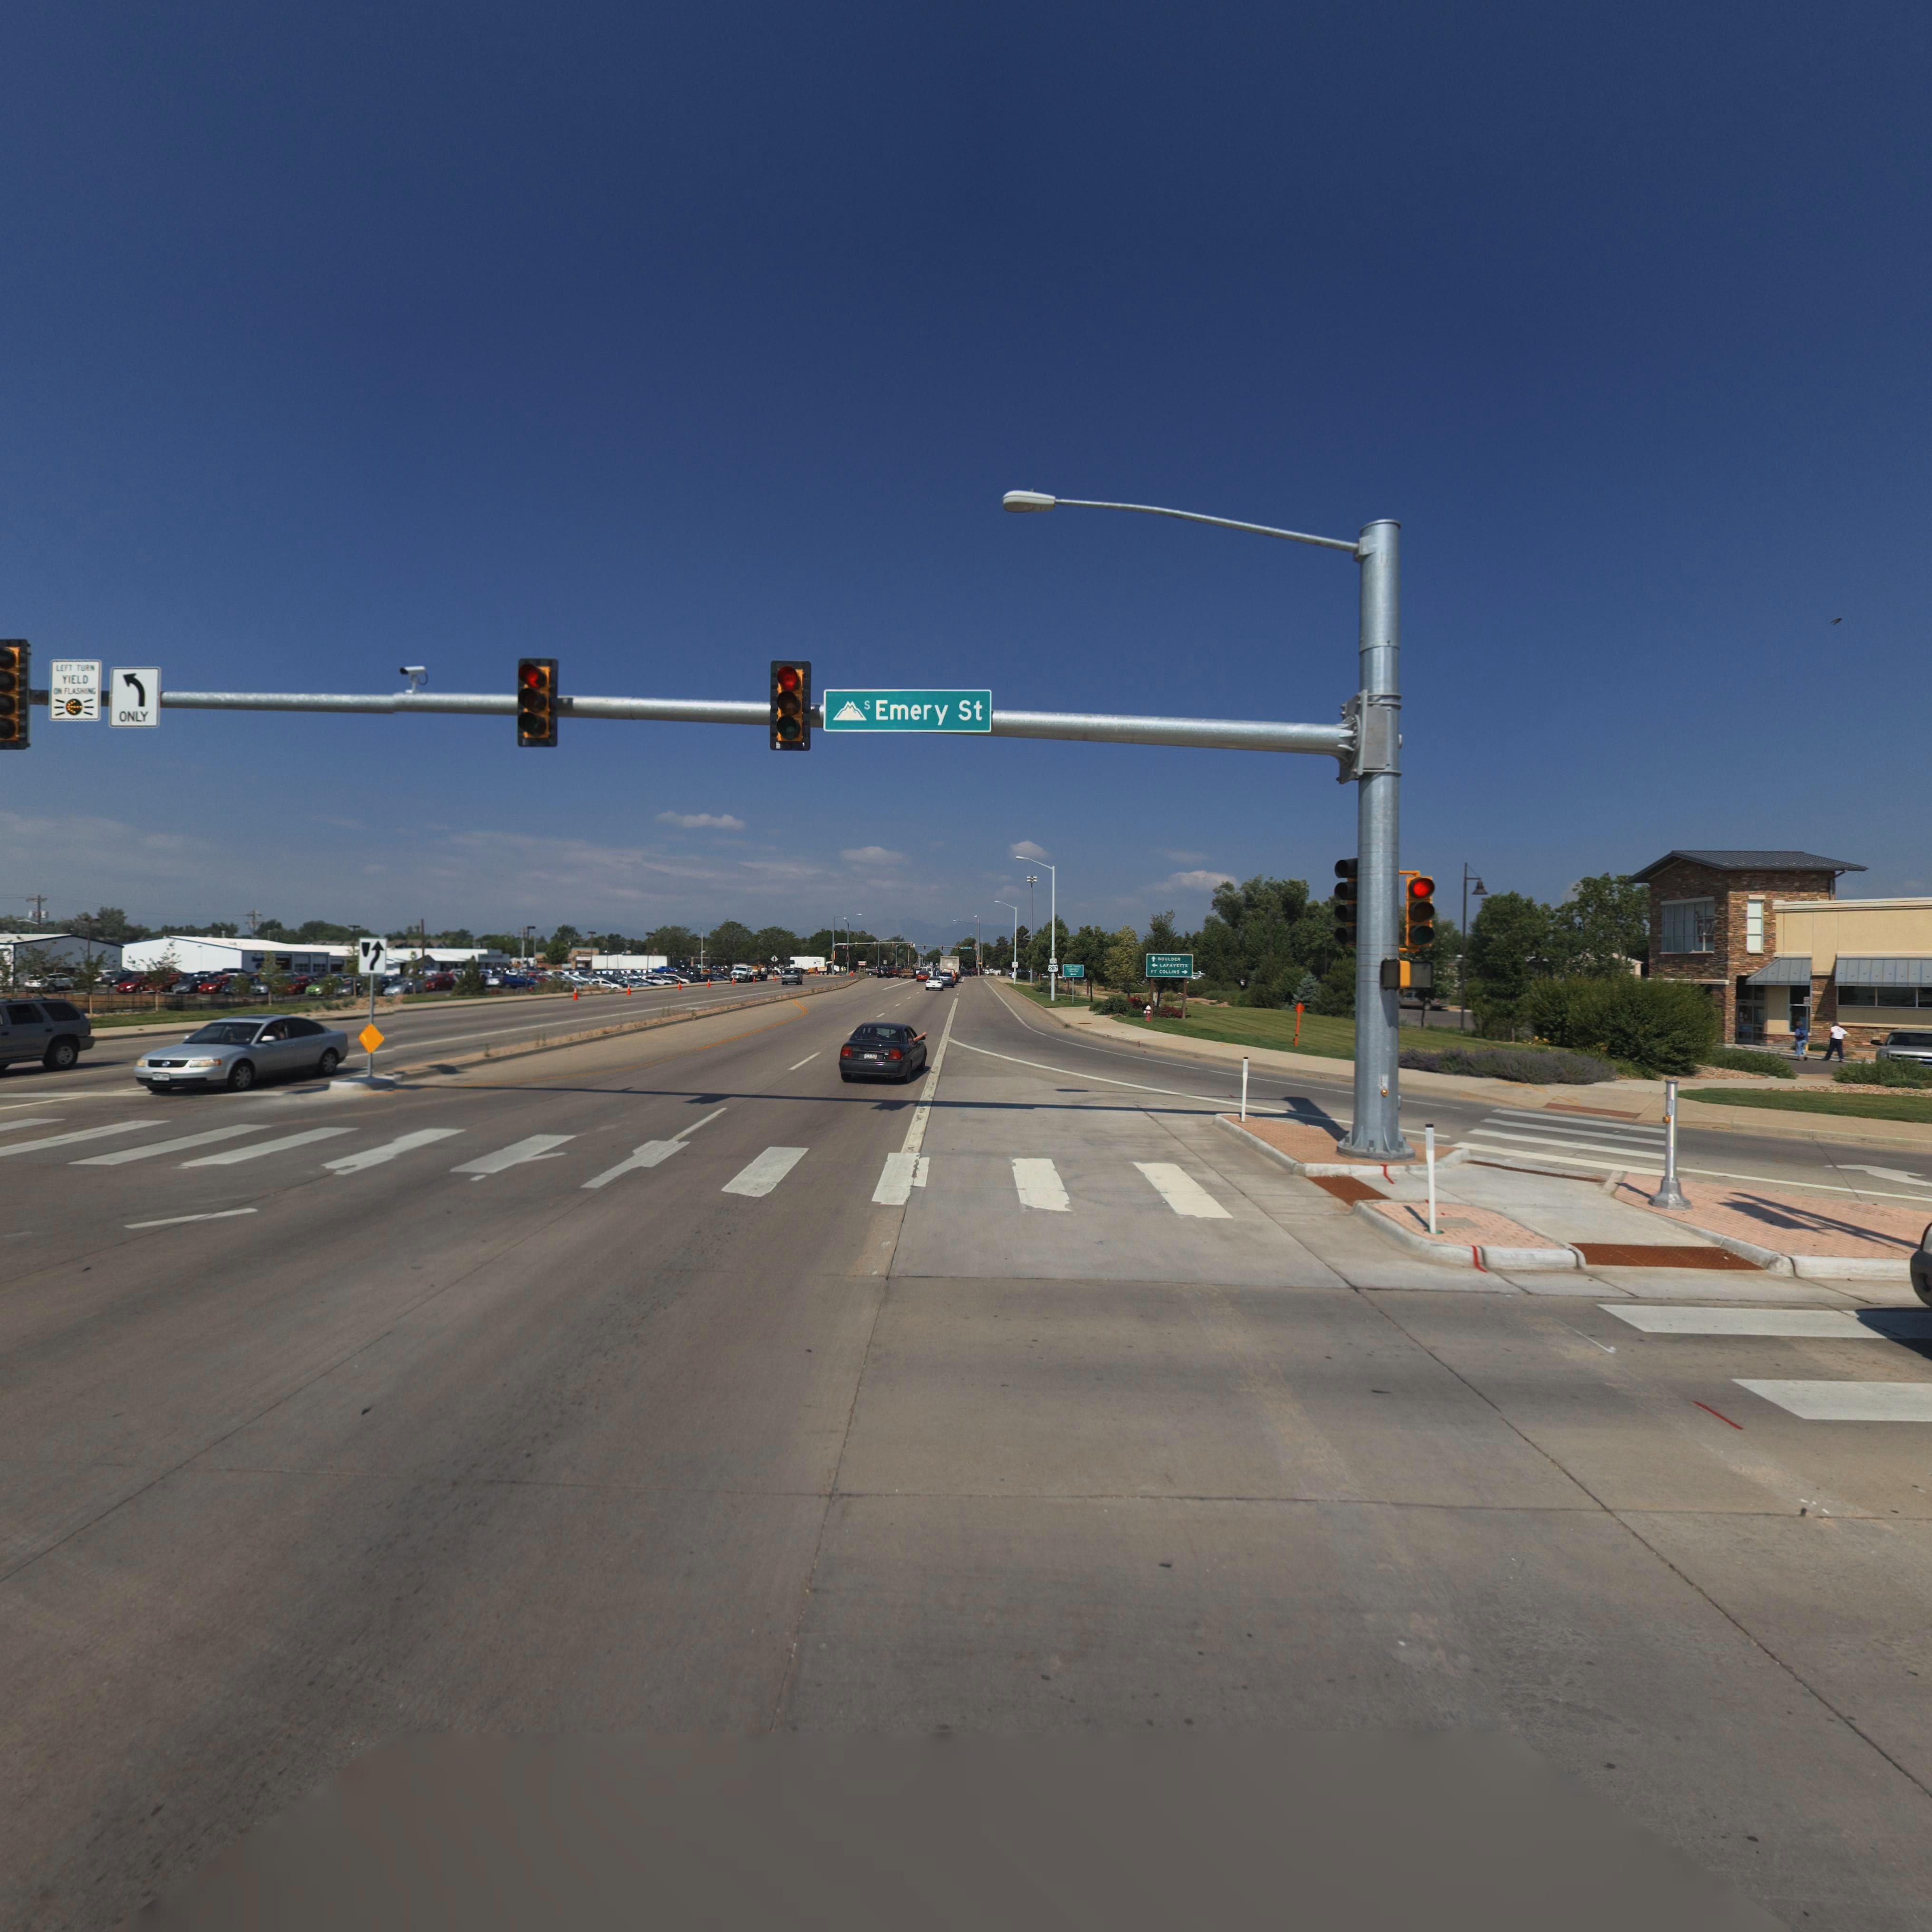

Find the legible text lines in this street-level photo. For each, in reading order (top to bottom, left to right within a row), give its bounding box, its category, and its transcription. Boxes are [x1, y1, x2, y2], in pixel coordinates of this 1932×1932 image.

[863, 698, 983, 726] StreetName: S Emery St